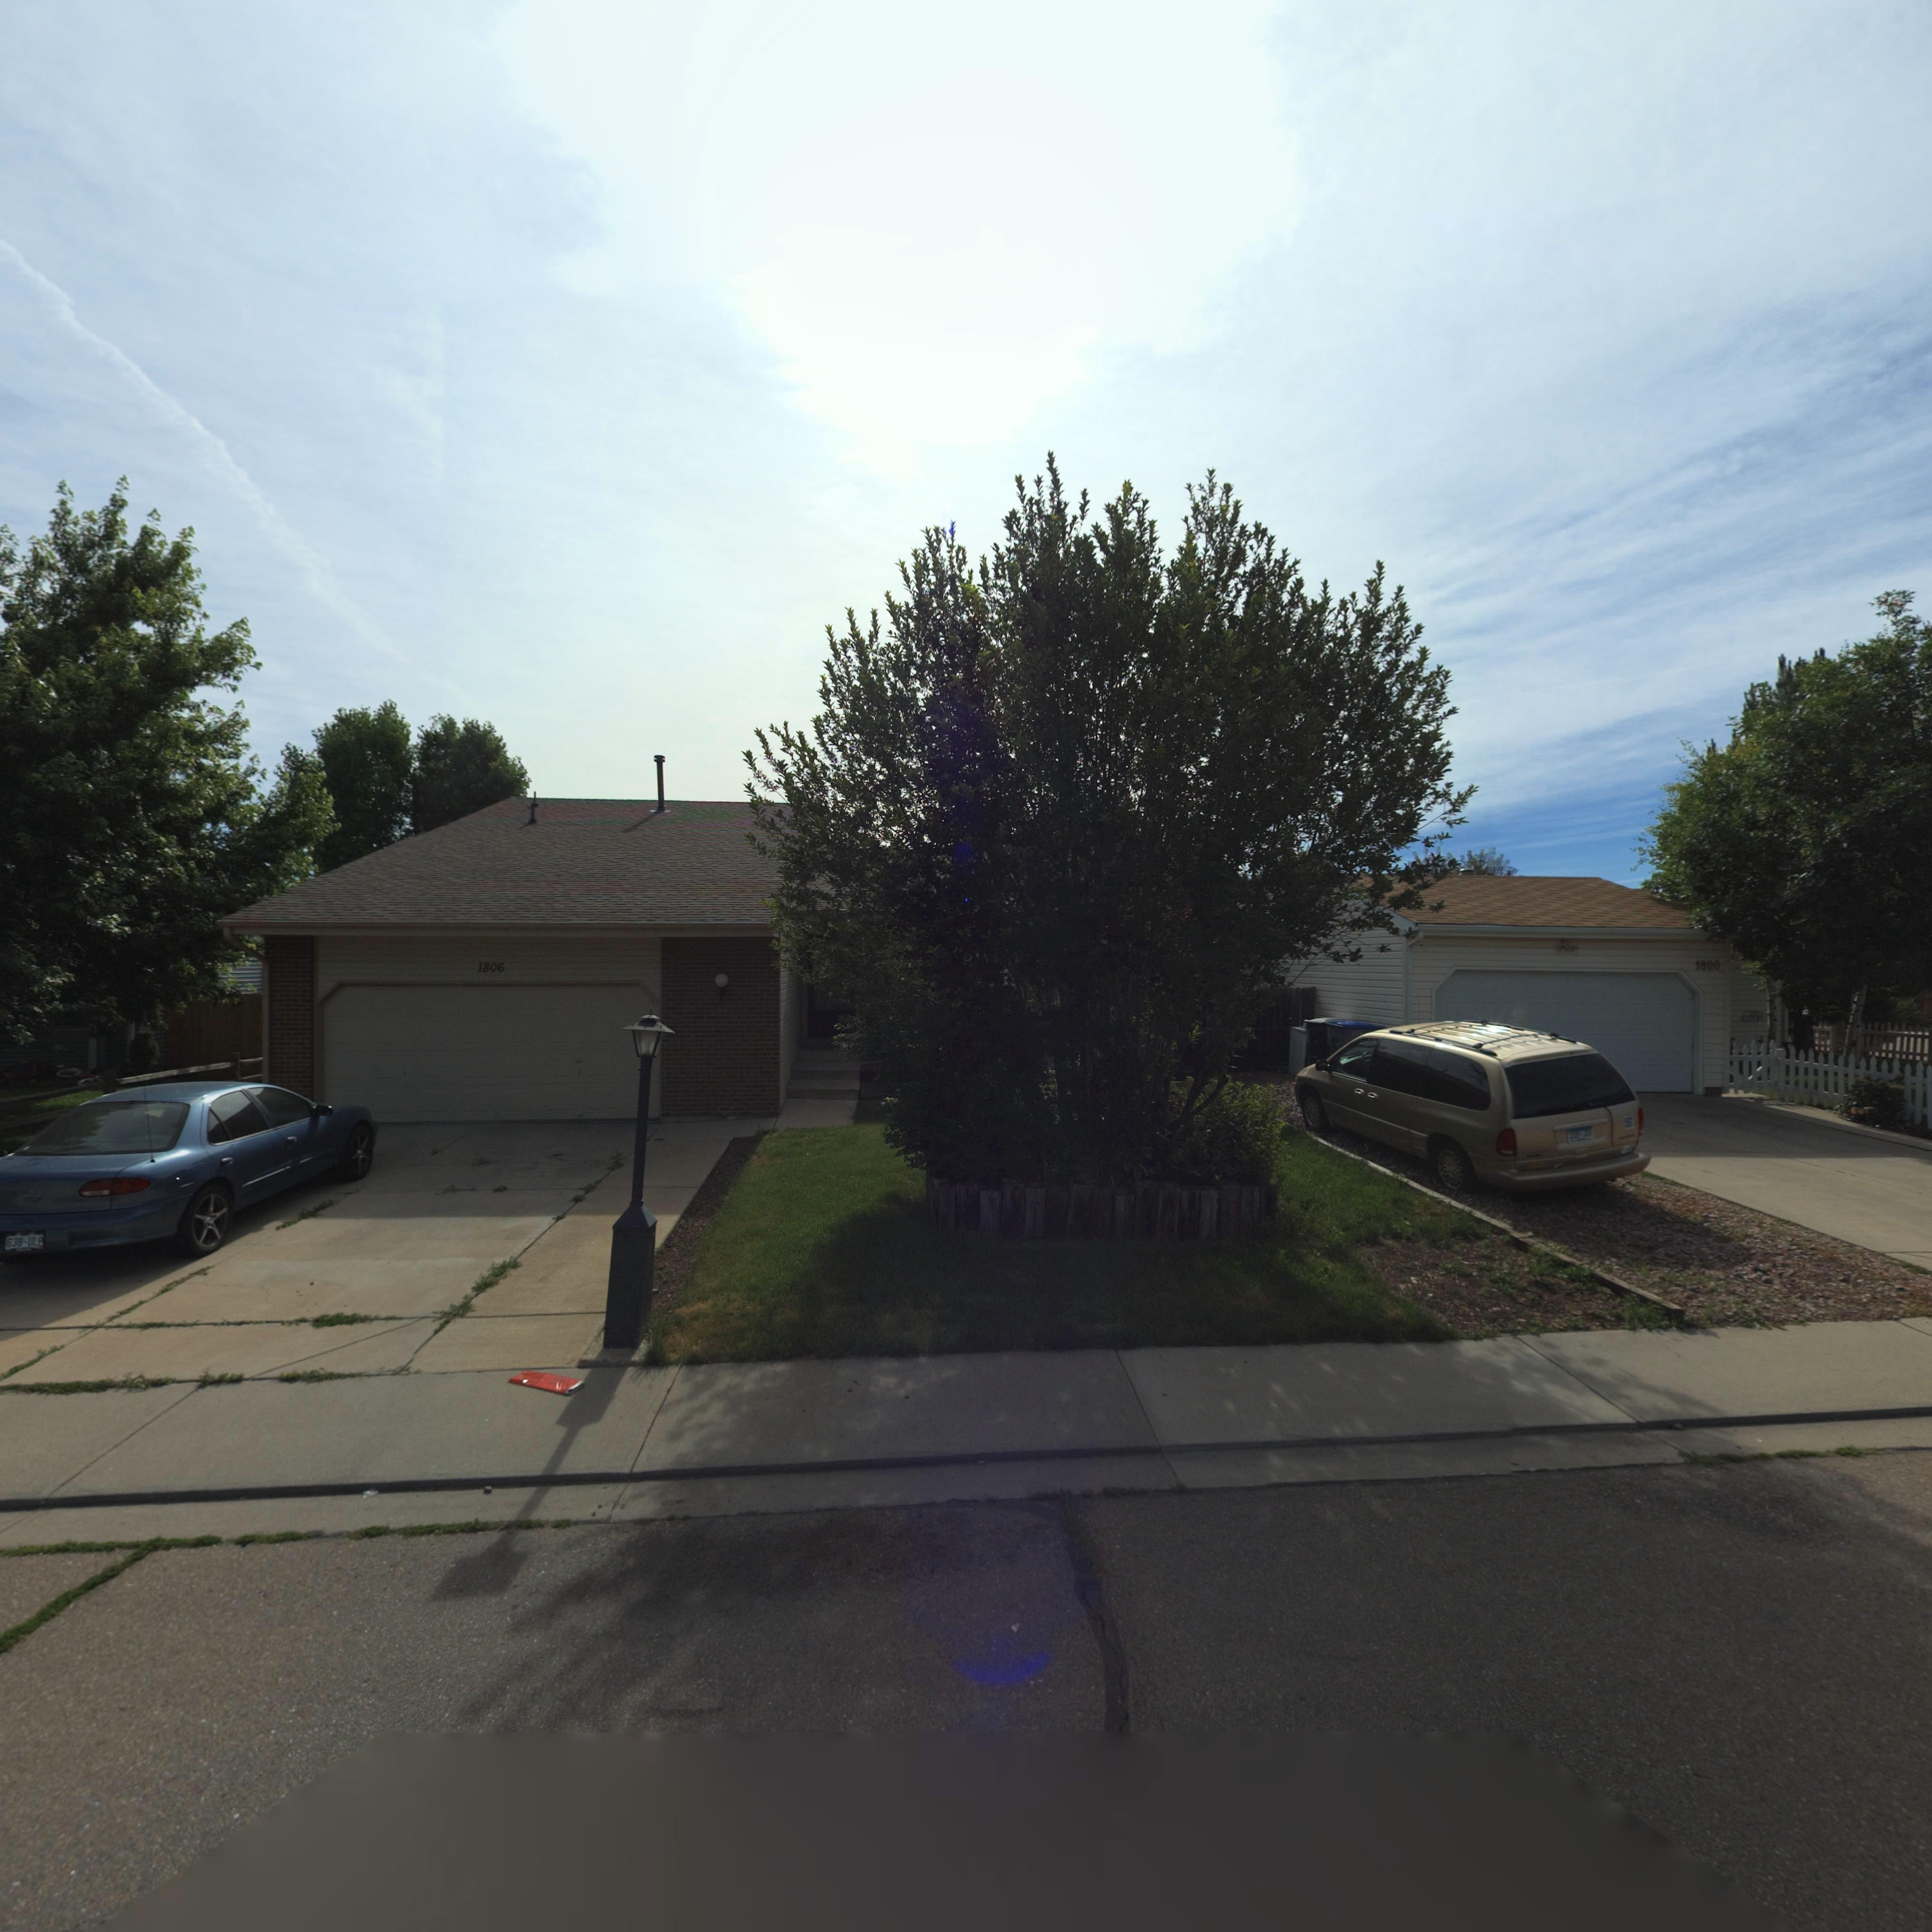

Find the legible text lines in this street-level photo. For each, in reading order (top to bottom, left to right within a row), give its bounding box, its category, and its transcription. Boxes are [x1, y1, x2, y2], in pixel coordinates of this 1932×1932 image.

[477, 961, 506, 973] StreetNumber: 1806
[1694, 959, 1721, 970] StreetNumber: 1800